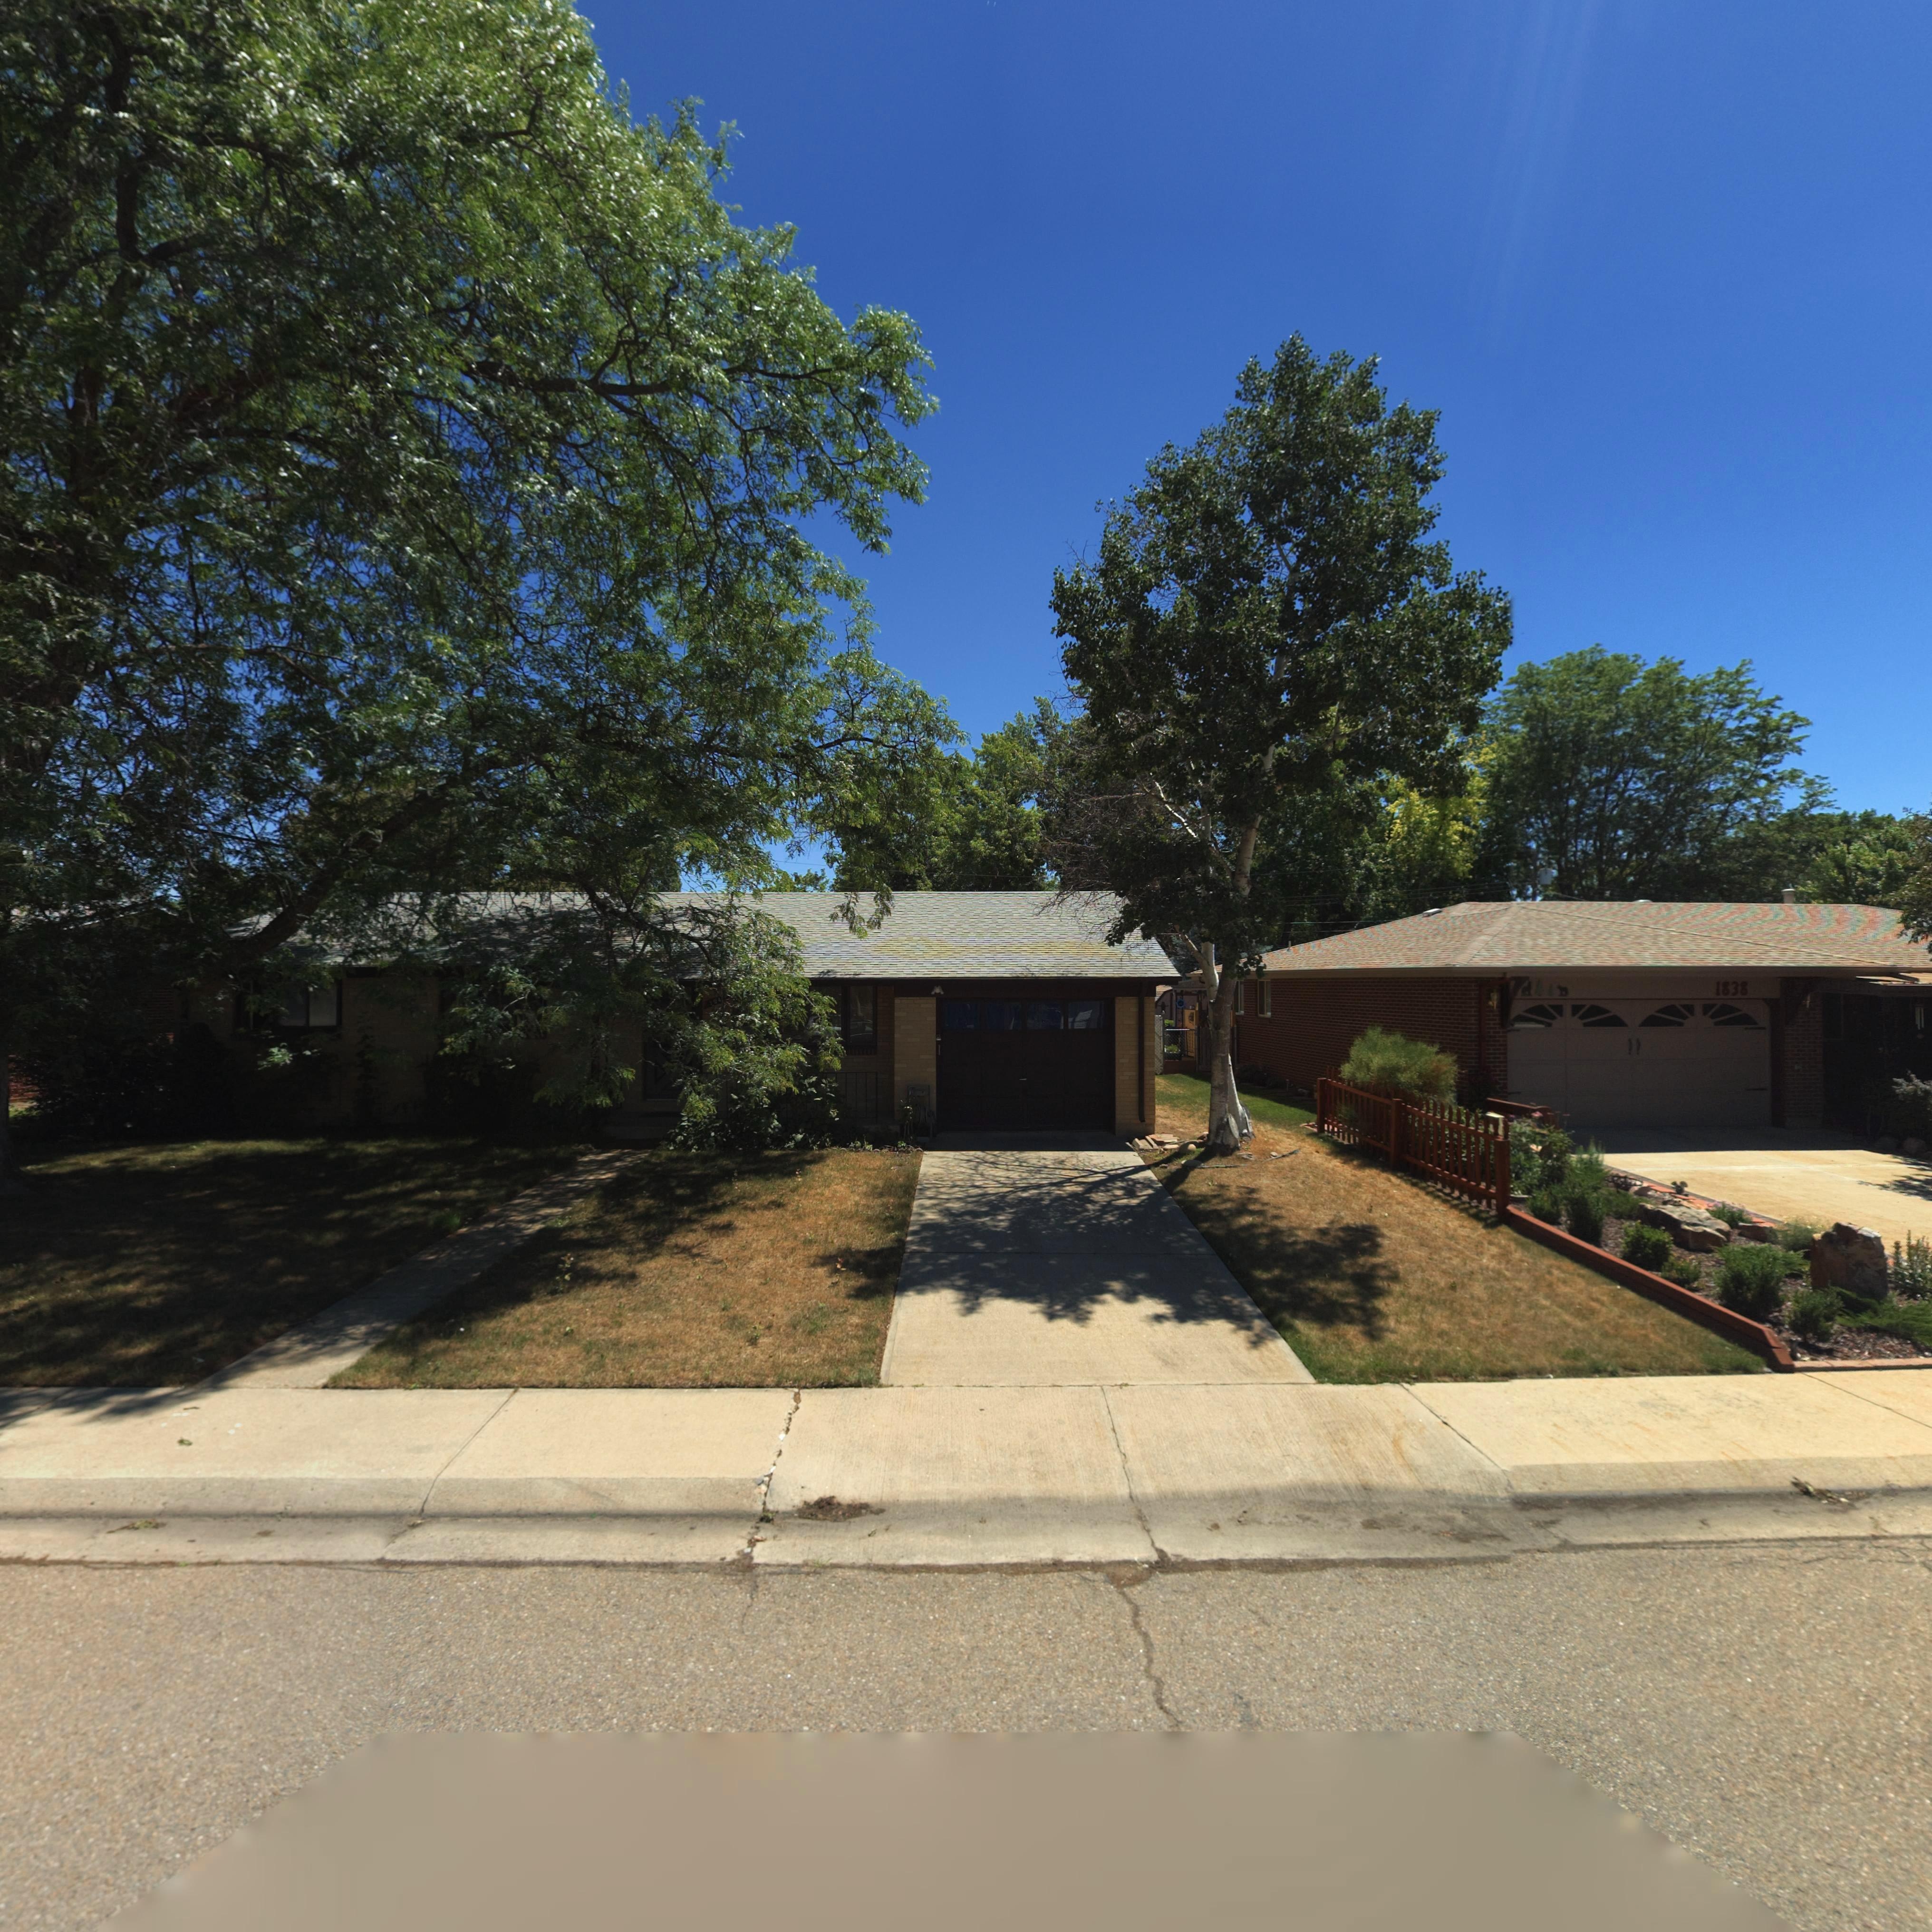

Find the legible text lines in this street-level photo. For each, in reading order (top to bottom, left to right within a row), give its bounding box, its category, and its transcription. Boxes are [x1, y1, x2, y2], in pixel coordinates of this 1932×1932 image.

[1716, 981, 1748, 996] StreetNumber: 1838